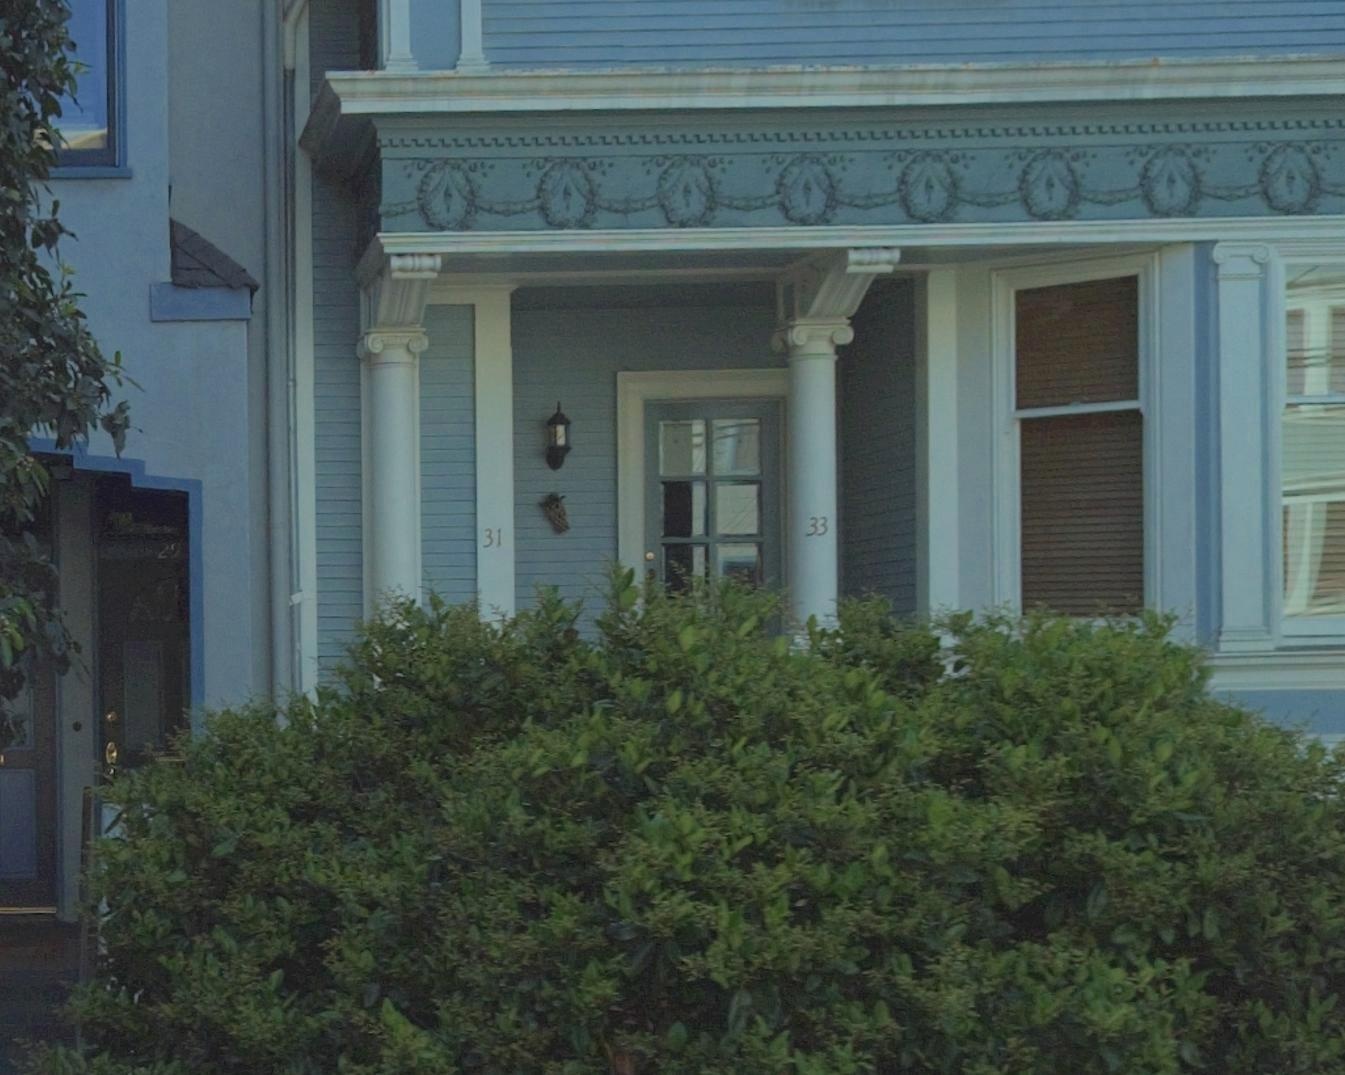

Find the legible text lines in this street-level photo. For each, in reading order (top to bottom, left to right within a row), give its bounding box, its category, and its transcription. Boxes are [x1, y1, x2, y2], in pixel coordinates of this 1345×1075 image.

[482, 527, 503, 548] StreetNumber: 31
[803, 513, 830, 538] StreetNumber: 33